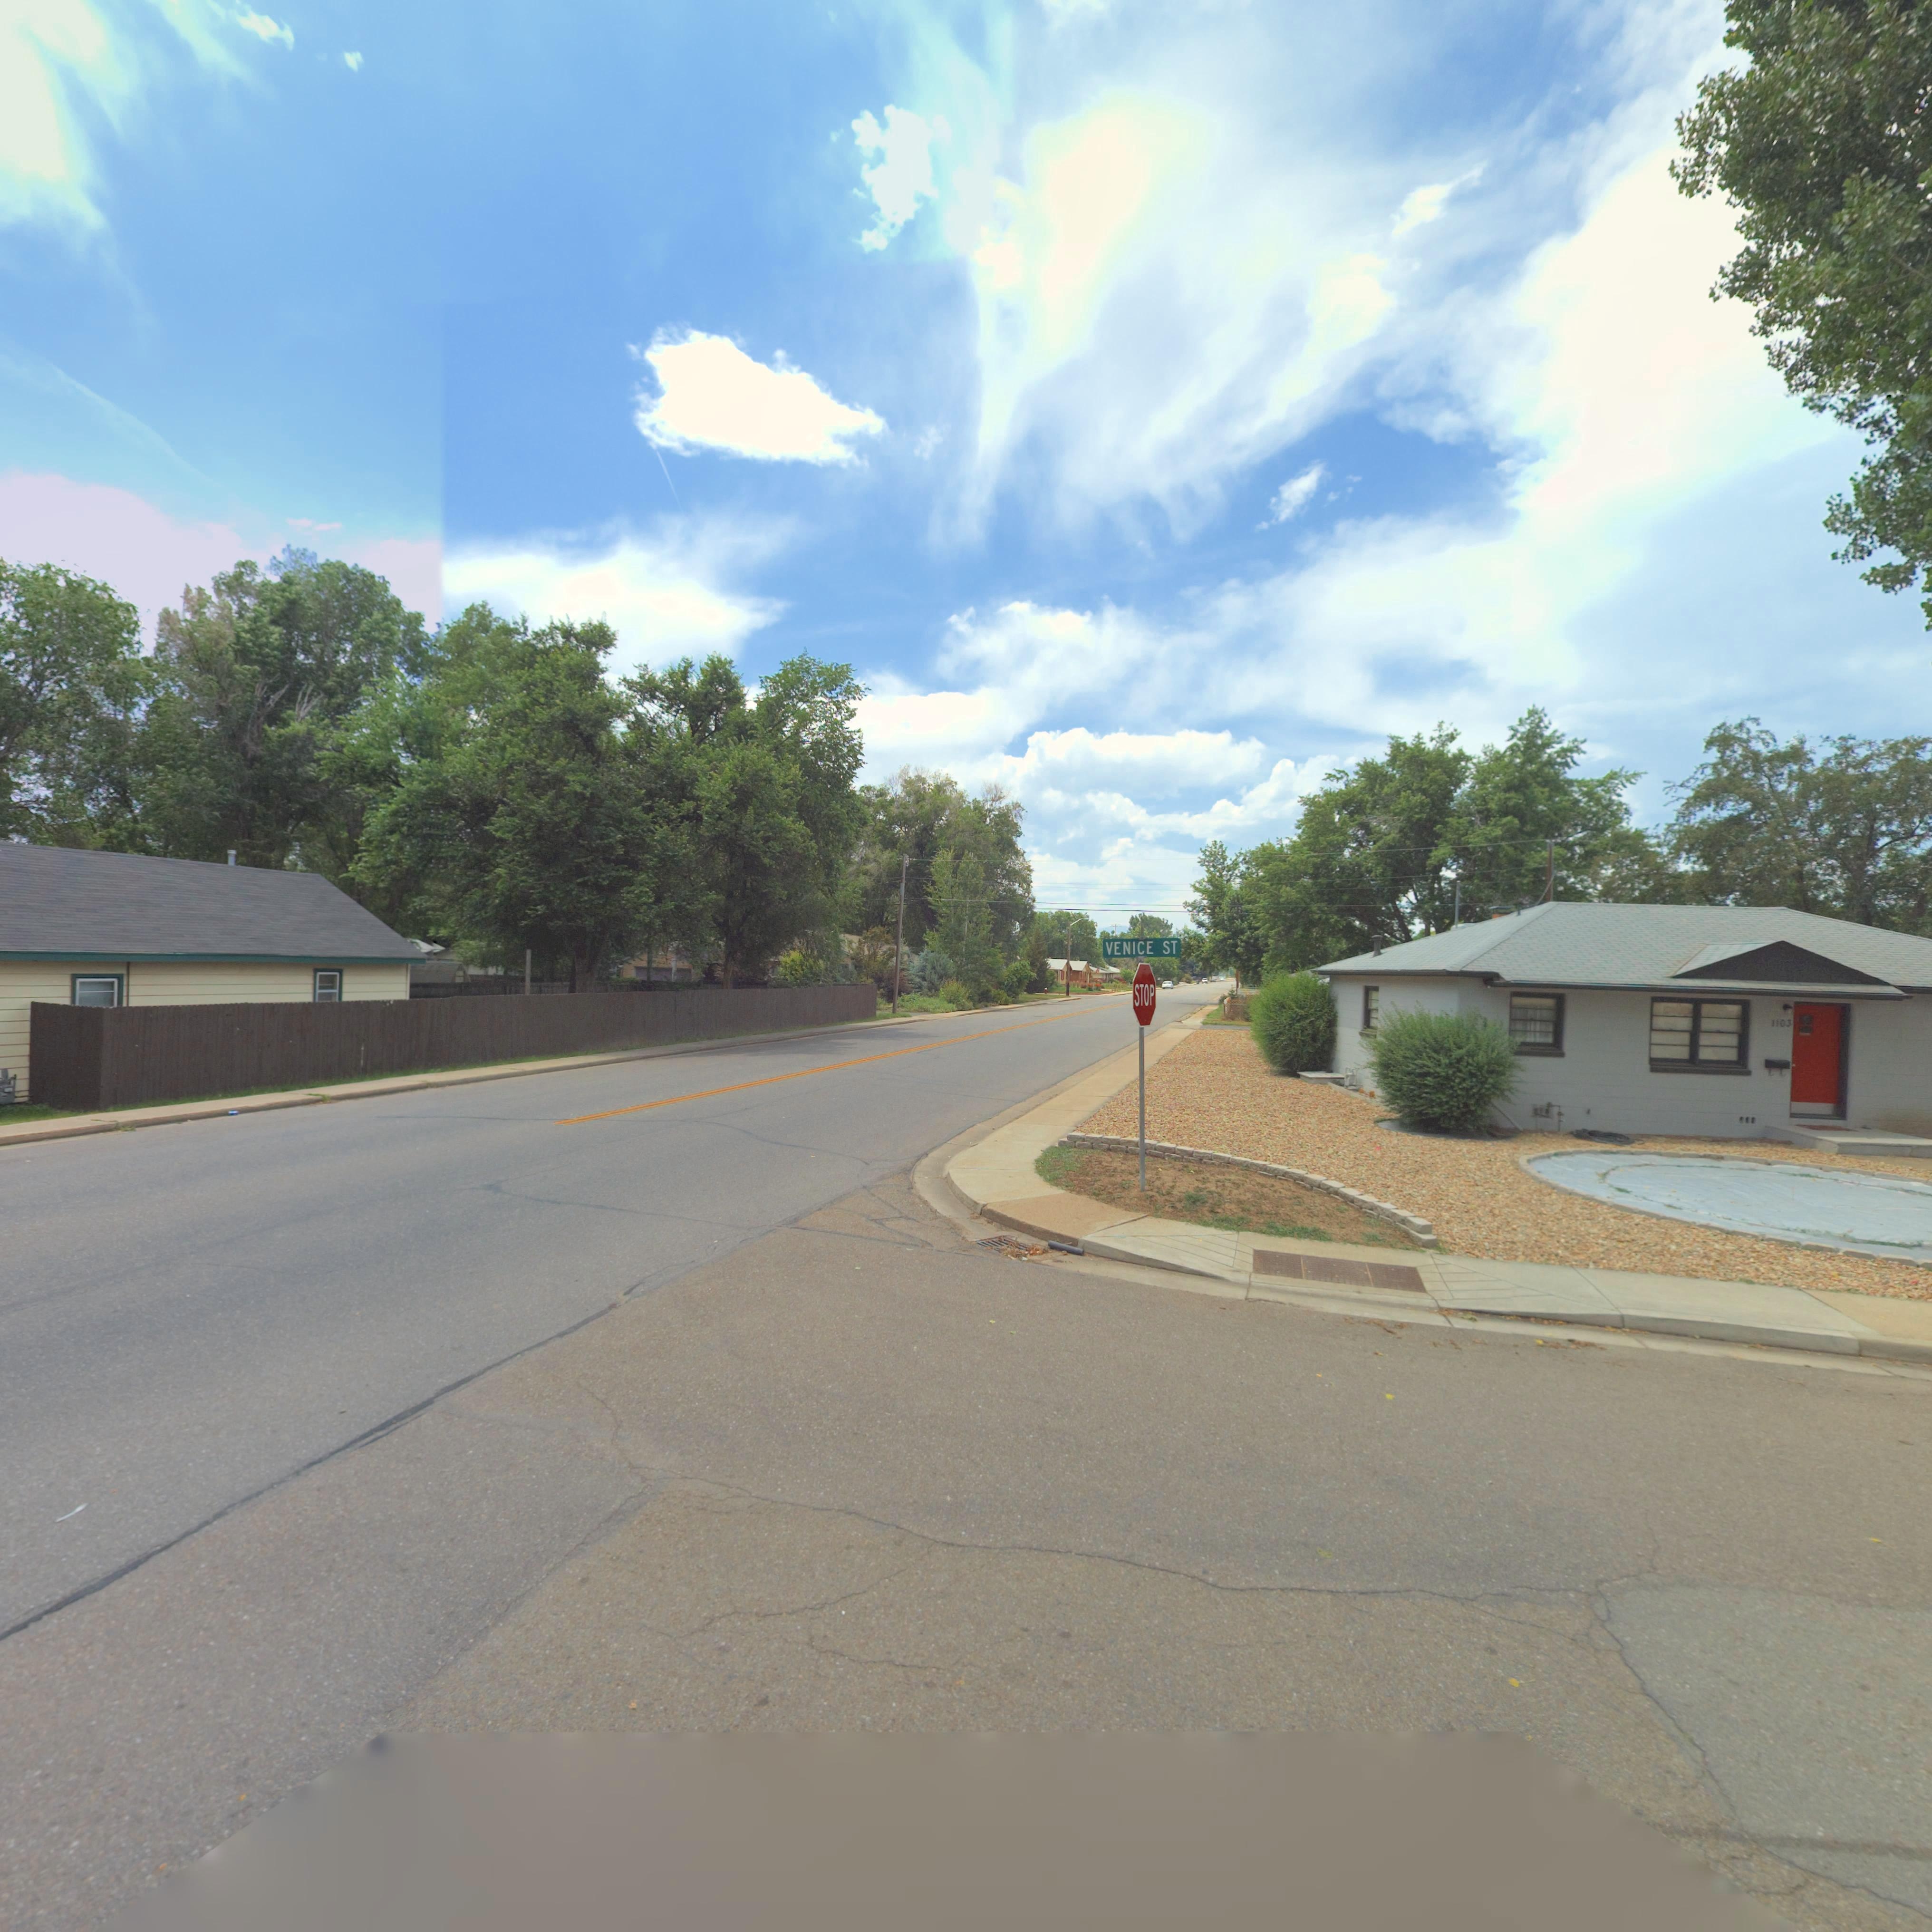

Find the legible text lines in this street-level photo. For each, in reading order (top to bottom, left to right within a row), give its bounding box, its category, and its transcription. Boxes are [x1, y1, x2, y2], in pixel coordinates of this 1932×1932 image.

[1105, 939, 1179, 956] StreetName: VENICE ST
[1770, 1018, 1792, 1028] StreetNumber: 1103